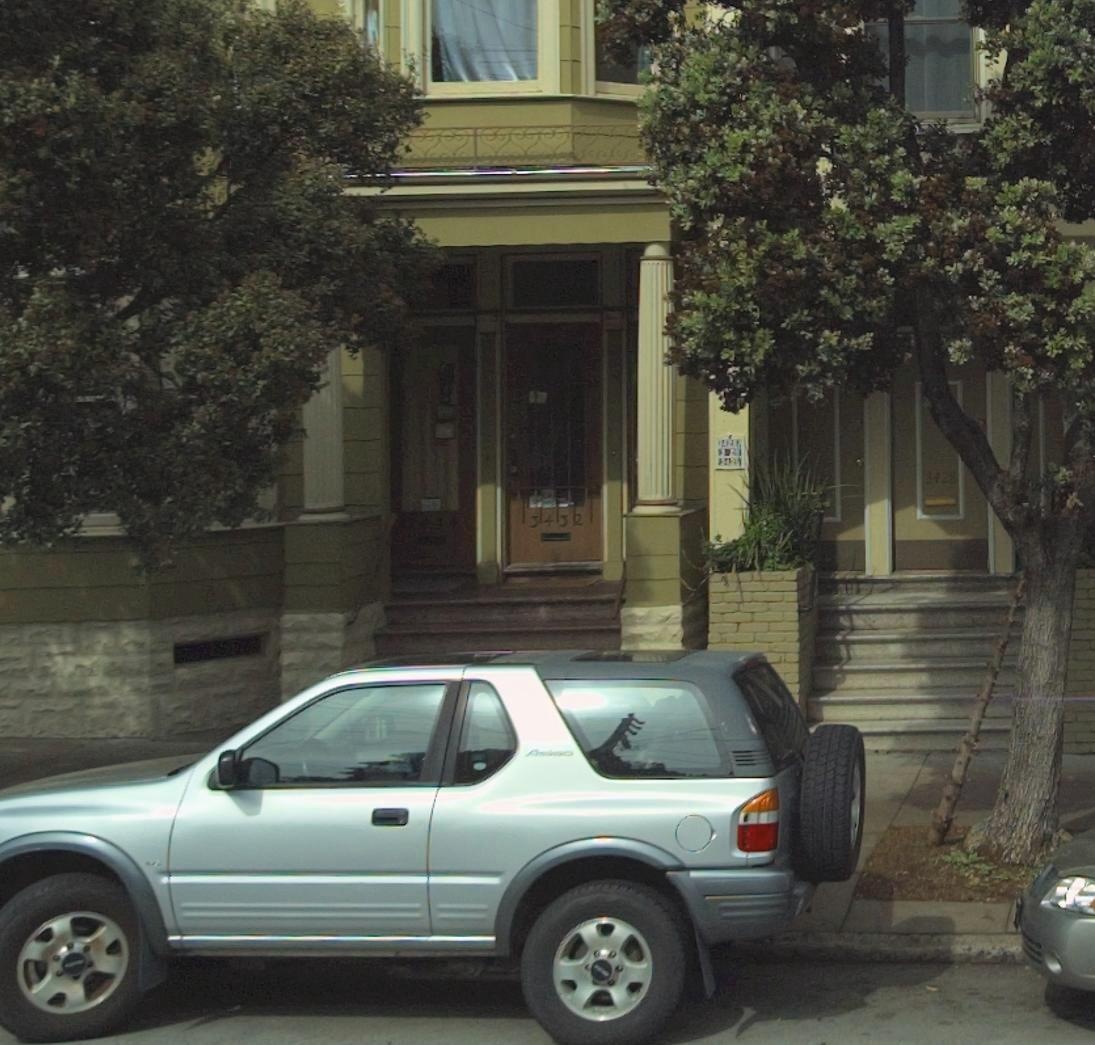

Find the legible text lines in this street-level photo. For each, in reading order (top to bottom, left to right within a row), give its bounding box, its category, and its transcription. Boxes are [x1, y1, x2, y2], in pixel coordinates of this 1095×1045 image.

[924, 470, 959, 485] StreetNumber: 3428
[529, 513, 584, 528] StreetNumber: 3432